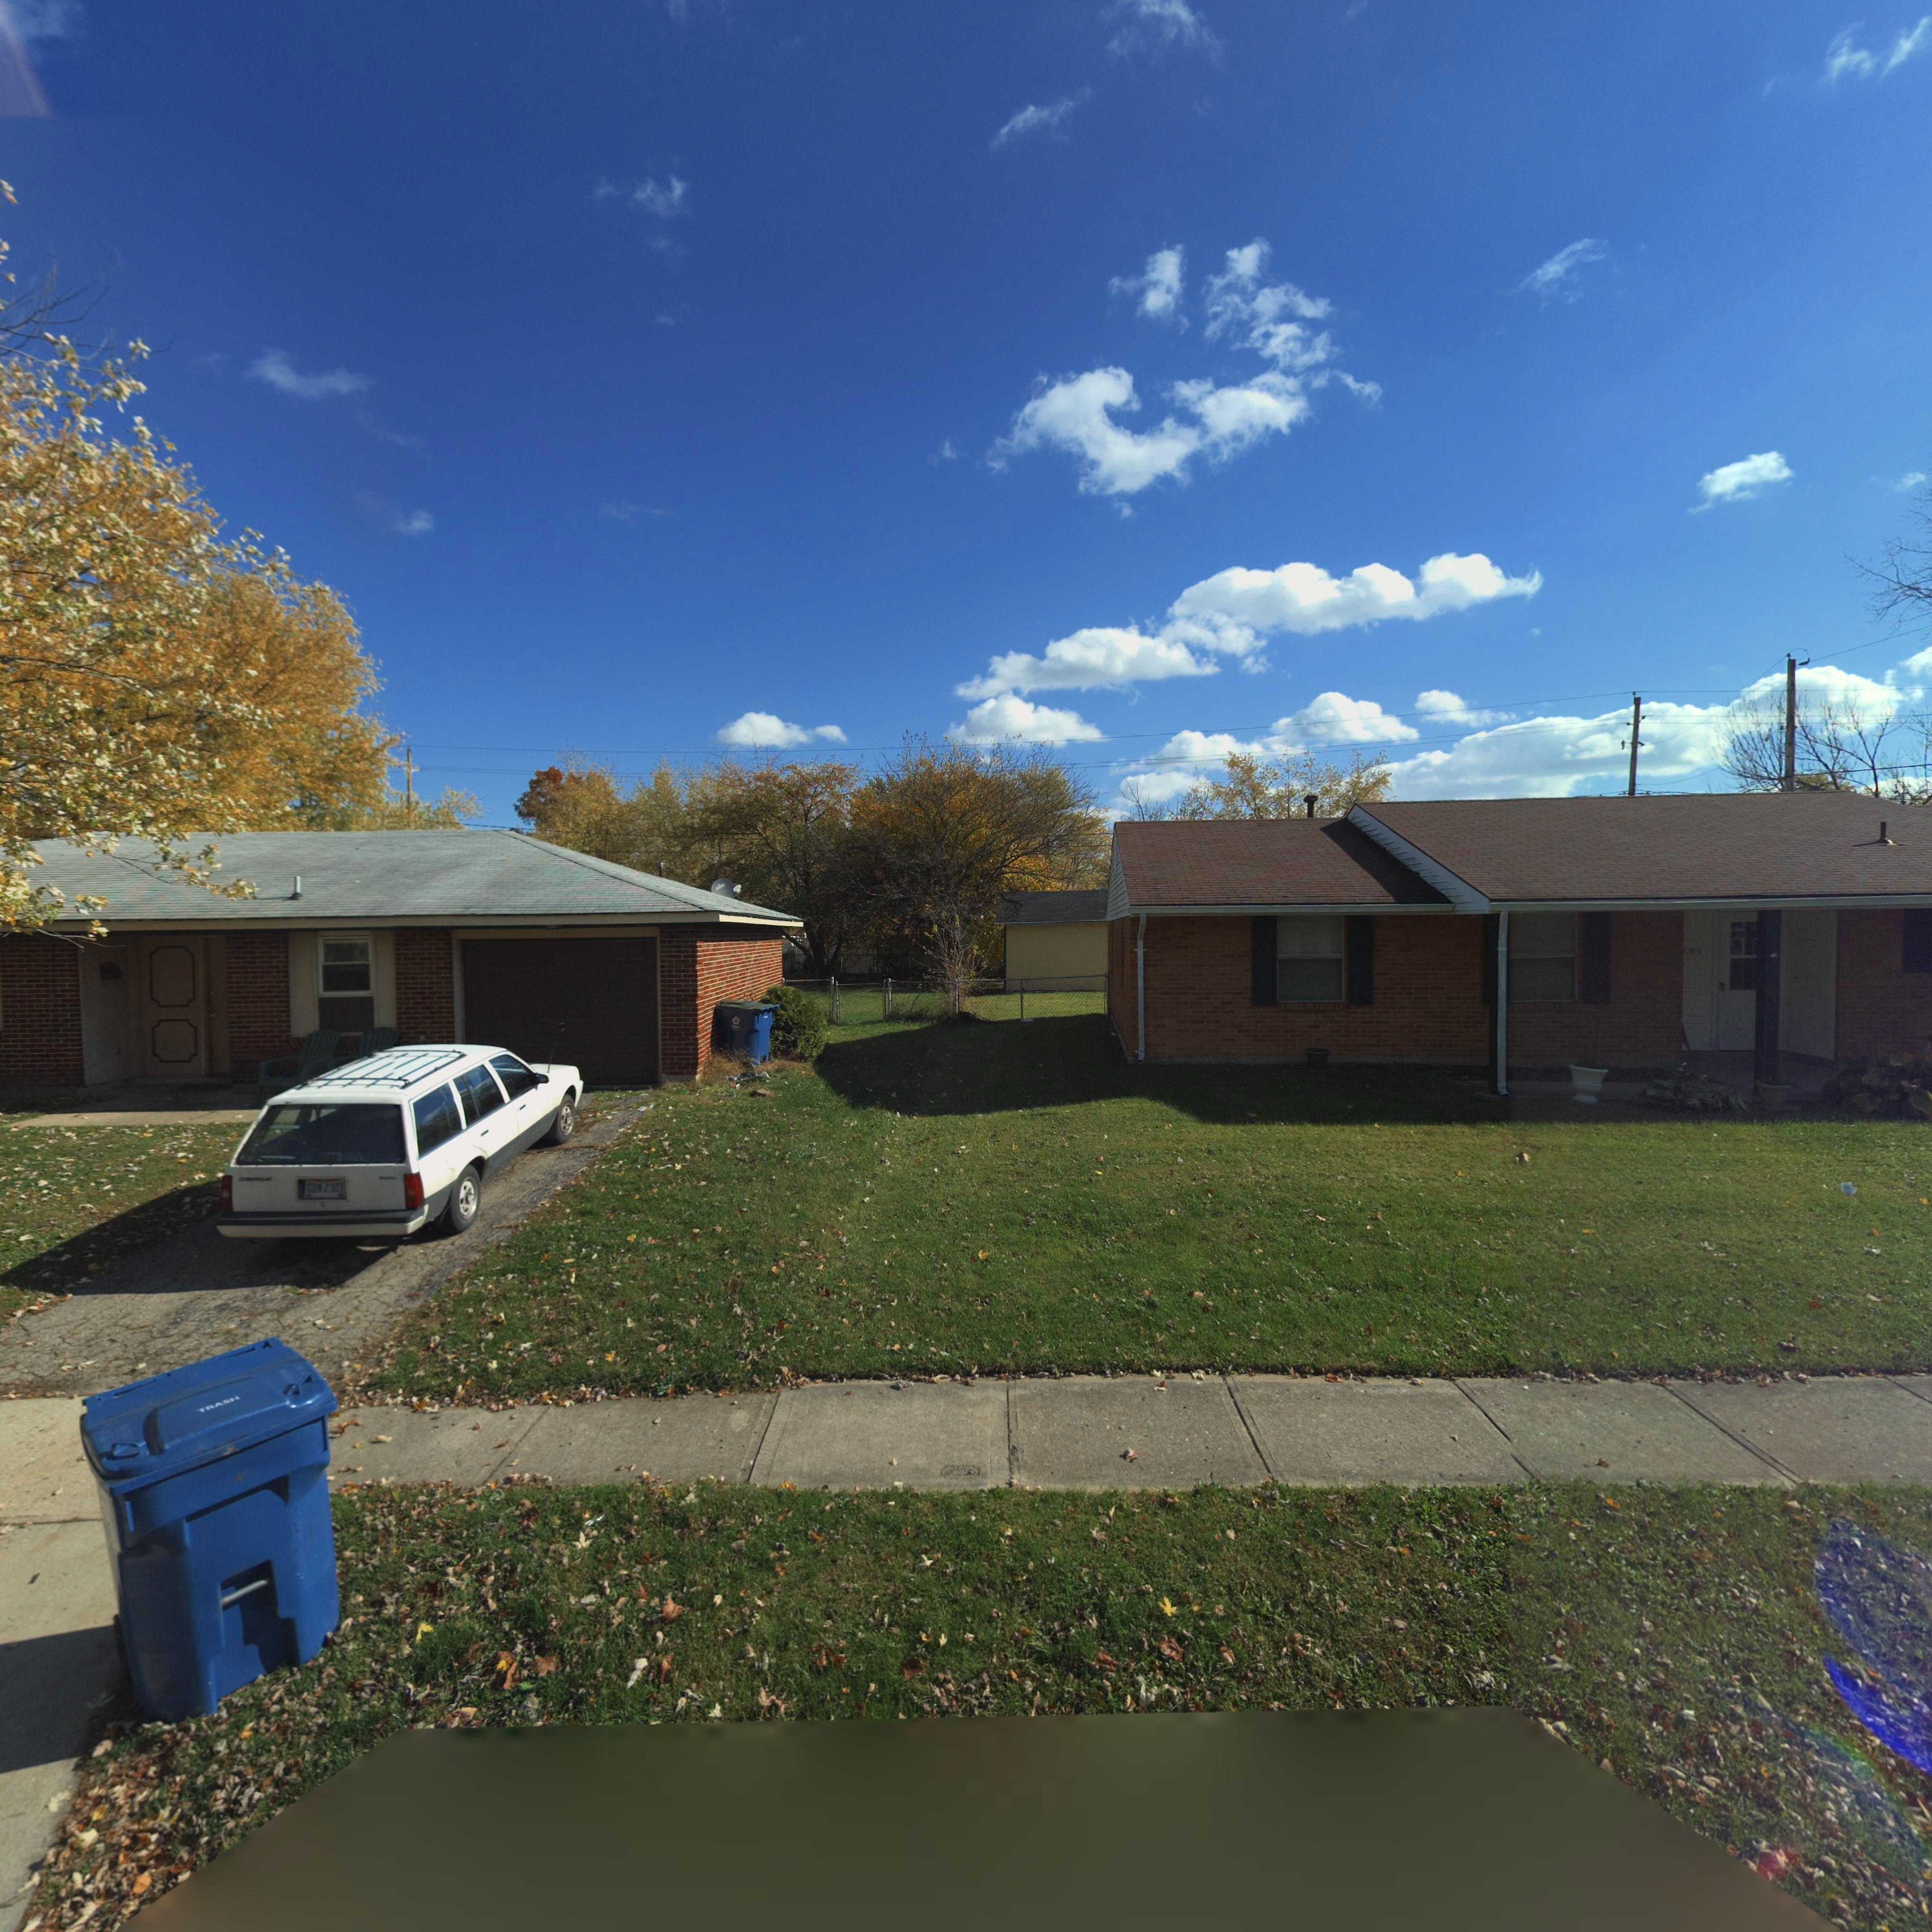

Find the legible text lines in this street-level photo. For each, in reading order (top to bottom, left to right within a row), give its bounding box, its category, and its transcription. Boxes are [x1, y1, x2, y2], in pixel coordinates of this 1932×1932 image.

[1681, 946, 1703, 956] StreetNumber: *769